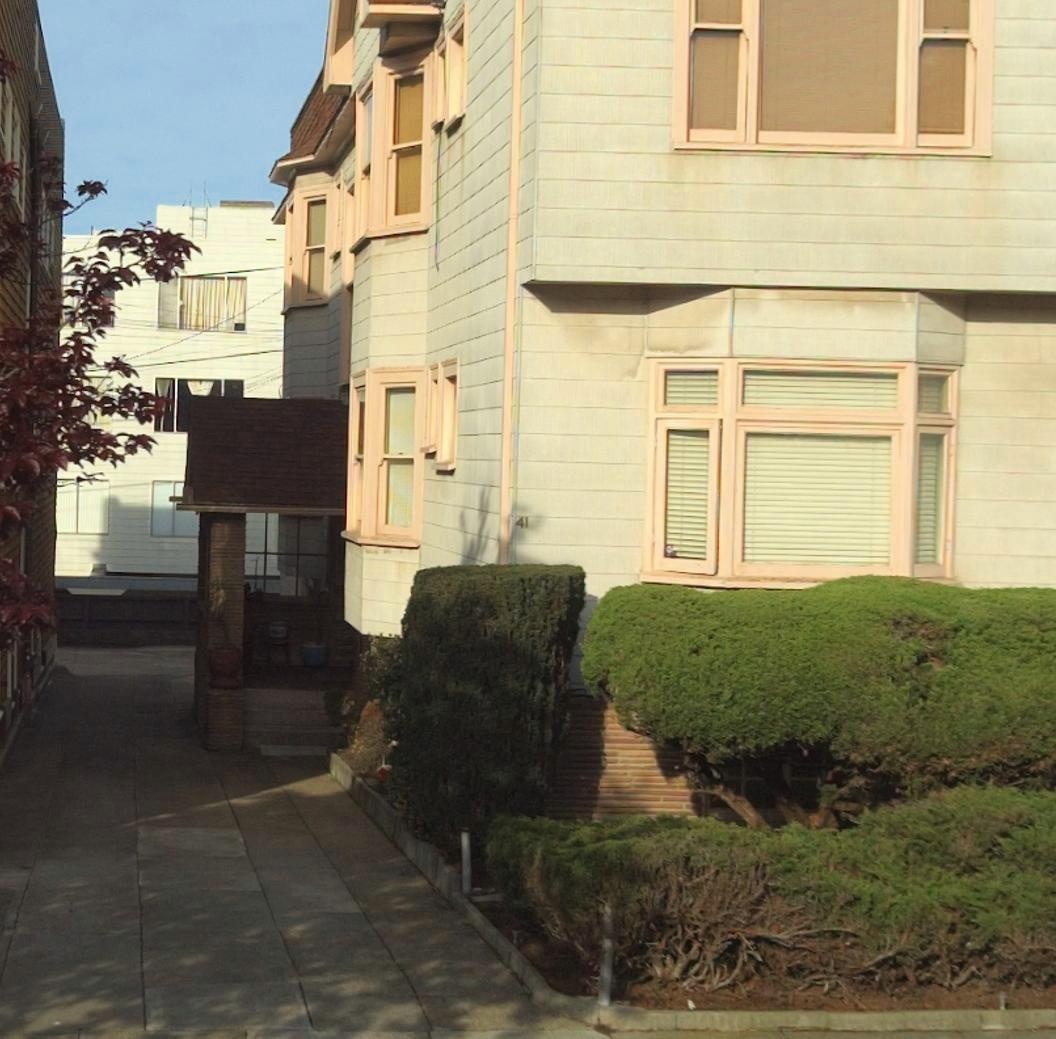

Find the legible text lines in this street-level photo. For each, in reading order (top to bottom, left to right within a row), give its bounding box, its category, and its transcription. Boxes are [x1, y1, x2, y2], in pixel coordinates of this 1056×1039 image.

[514, 515, 530, 530] StreetNumber: 41